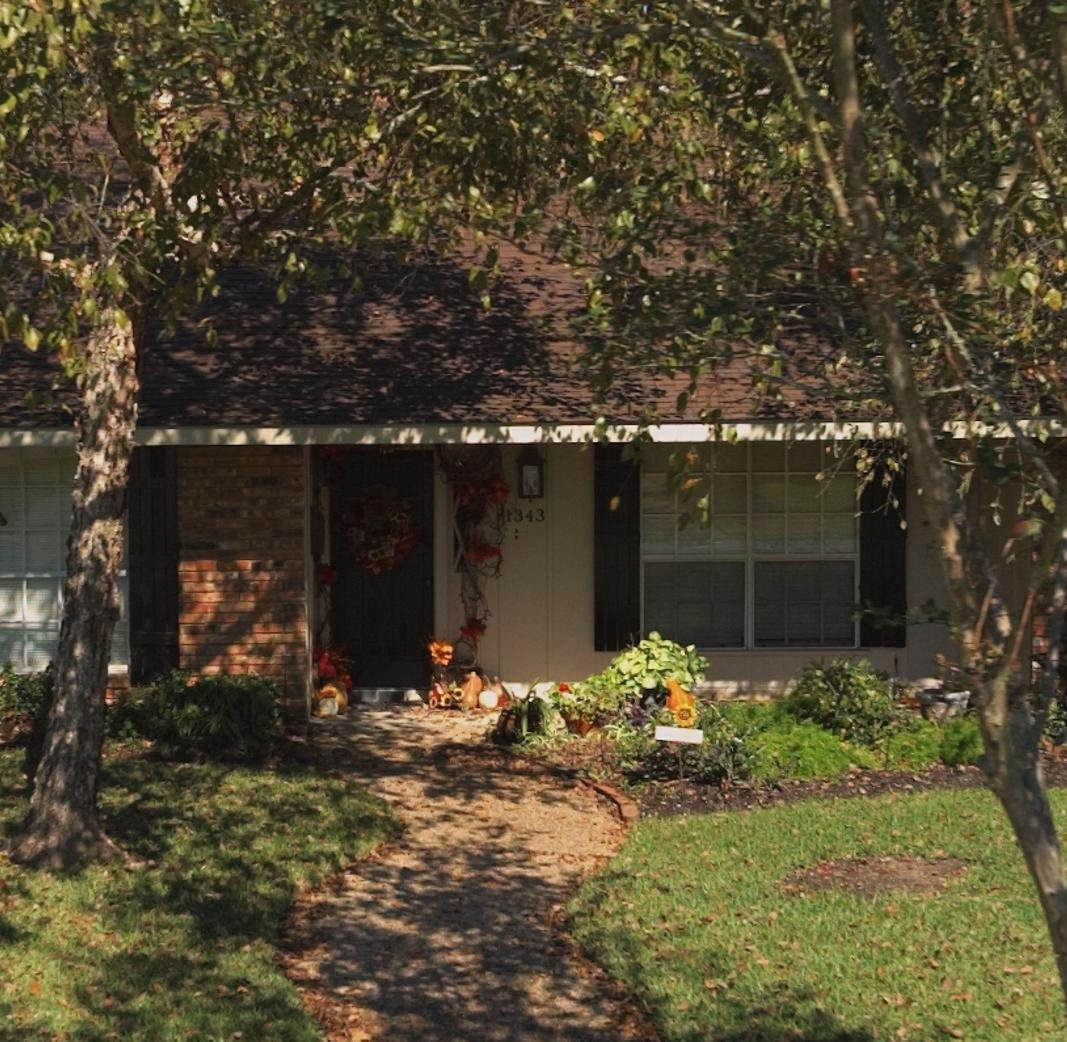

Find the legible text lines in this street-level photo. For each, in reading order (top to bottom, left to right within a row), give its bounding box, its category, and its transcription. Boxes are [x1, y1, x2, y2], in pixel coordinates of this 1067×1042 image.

[506, 507, 546, 525] StreetNumber: 1343